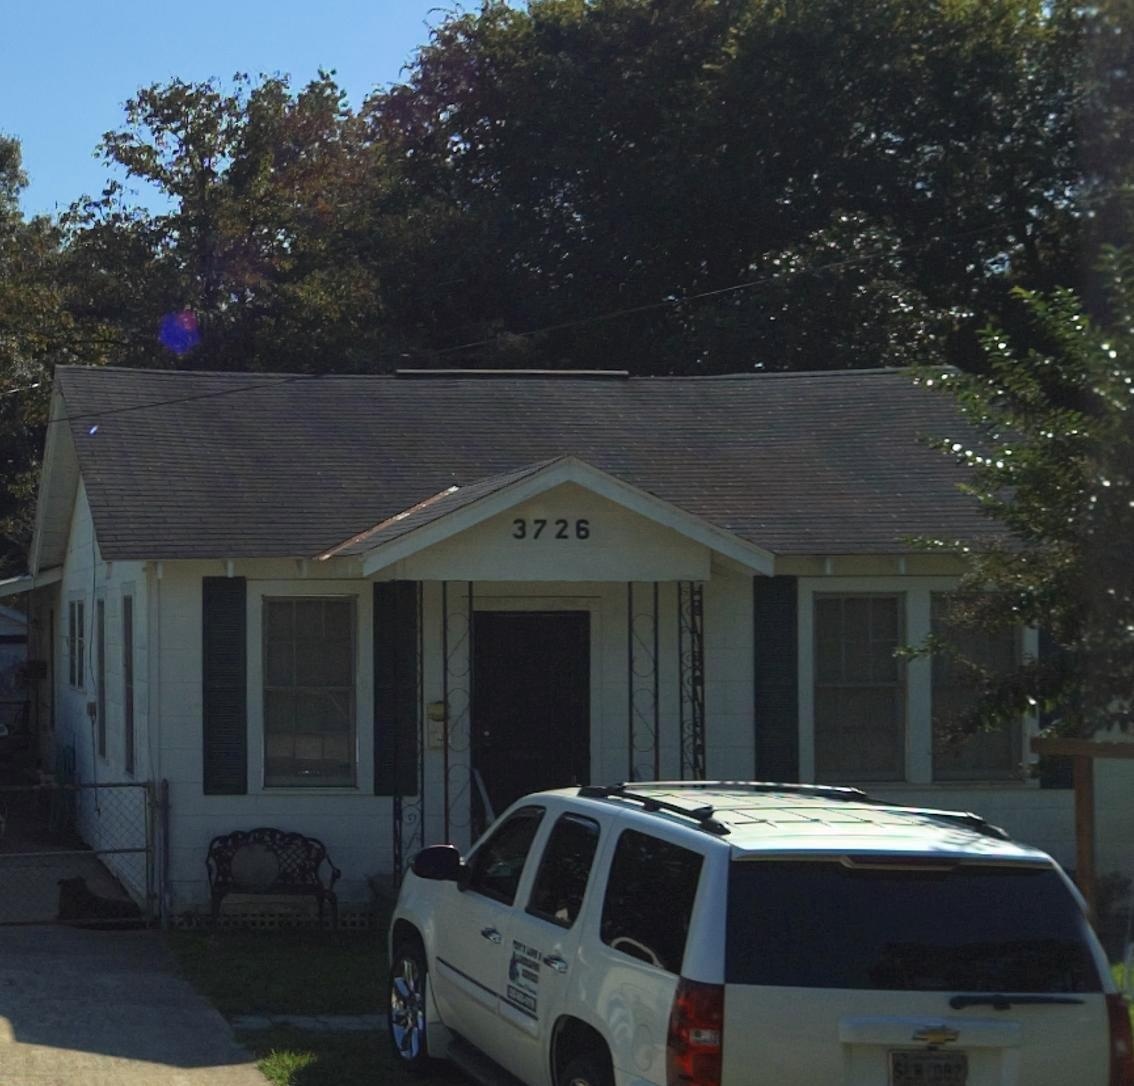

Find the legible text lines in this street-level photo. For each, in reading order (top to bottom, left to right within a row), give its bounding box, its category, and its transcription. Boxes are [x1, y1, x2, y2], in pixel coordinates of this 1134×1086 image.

[513, 518, 590, 541] StreetNumber: 3726
[893, 1062, 965, 1081] None: SLH*082